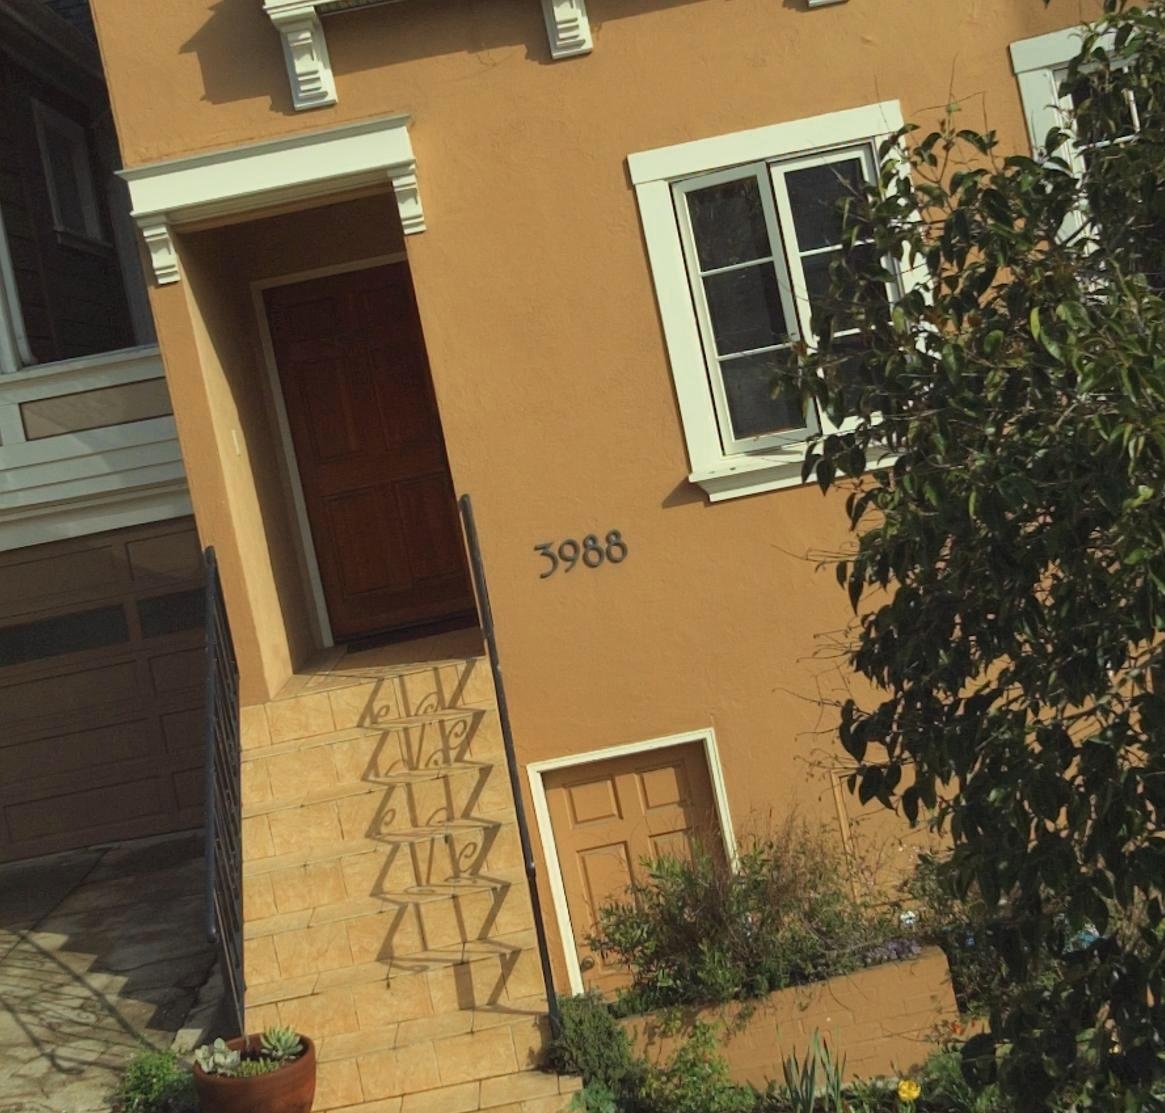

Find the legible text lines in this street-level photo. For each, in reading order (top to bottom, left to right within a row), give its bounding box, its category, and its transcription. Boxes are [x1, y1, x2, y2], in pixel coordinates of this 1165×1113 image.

[531, 526, 632, 581] StreetNumber: 3988